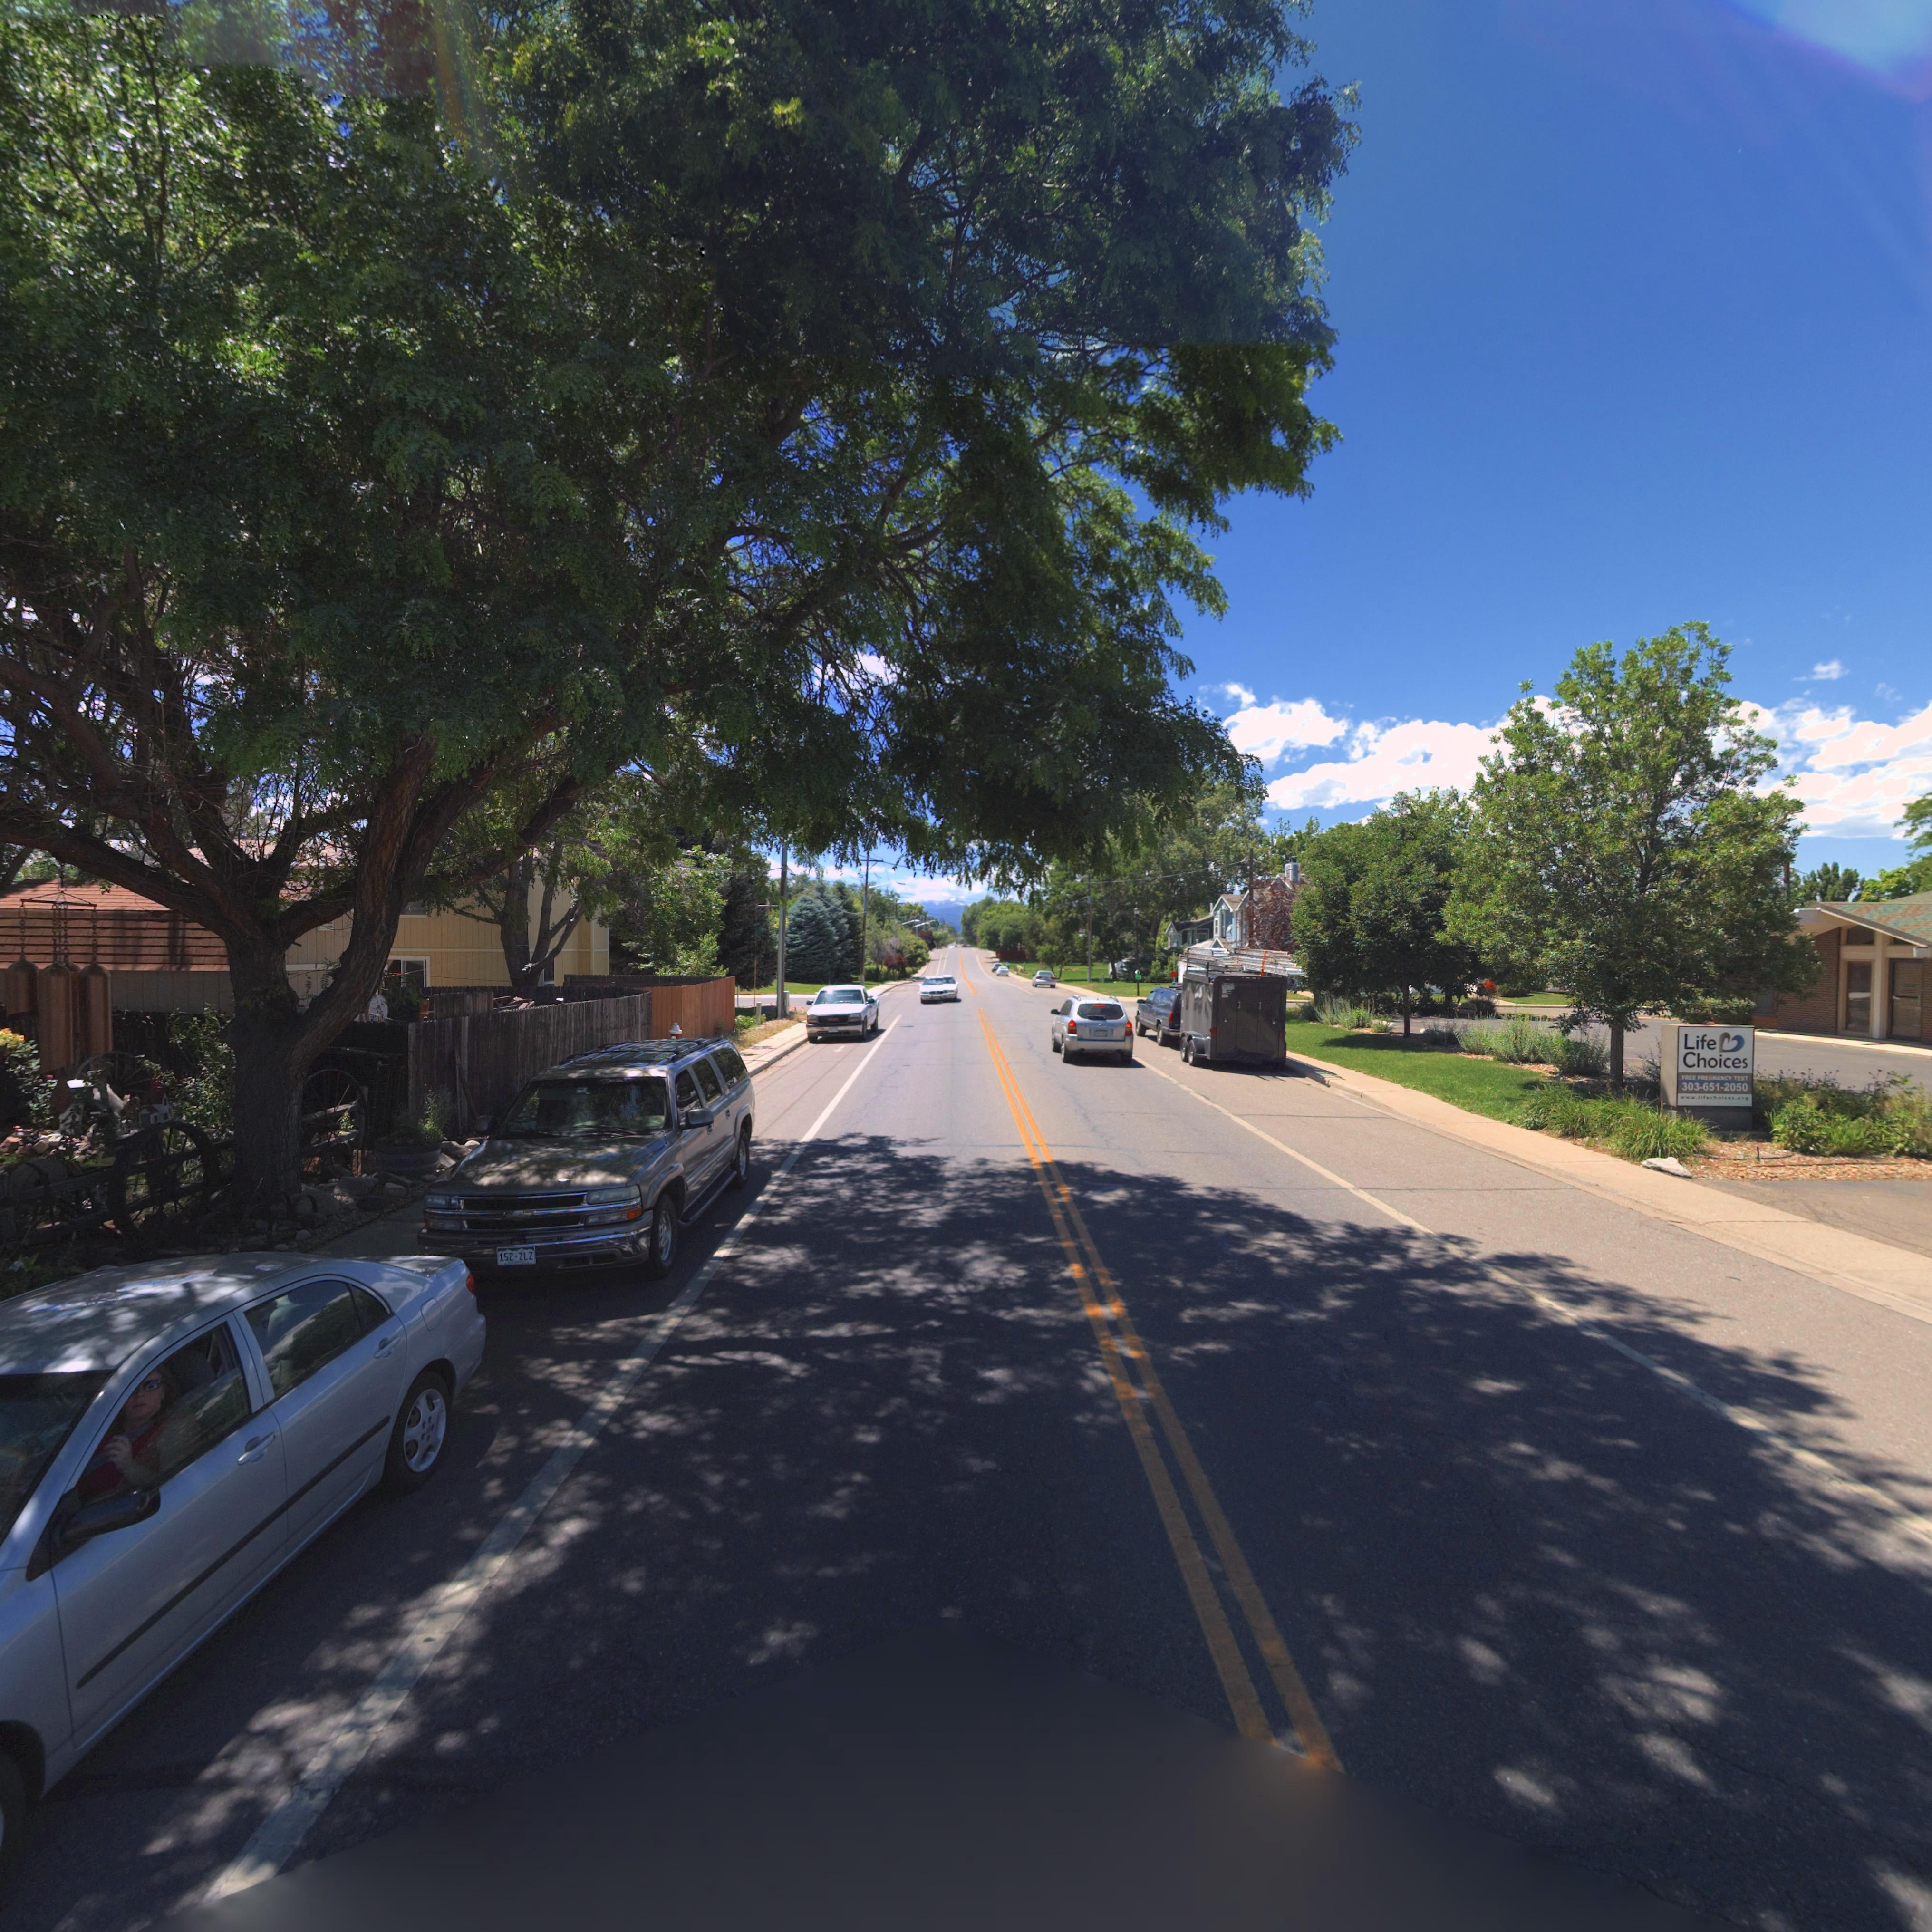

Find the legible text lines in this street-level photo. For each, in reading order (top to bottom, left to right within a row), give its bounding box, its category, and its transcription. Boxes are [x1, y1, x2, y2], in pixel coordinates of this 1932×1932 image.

[1683, 1032, 1717, 1051] BusinessName: Life
[1681, 1051, 1748, 1070] BusinessName: Choices